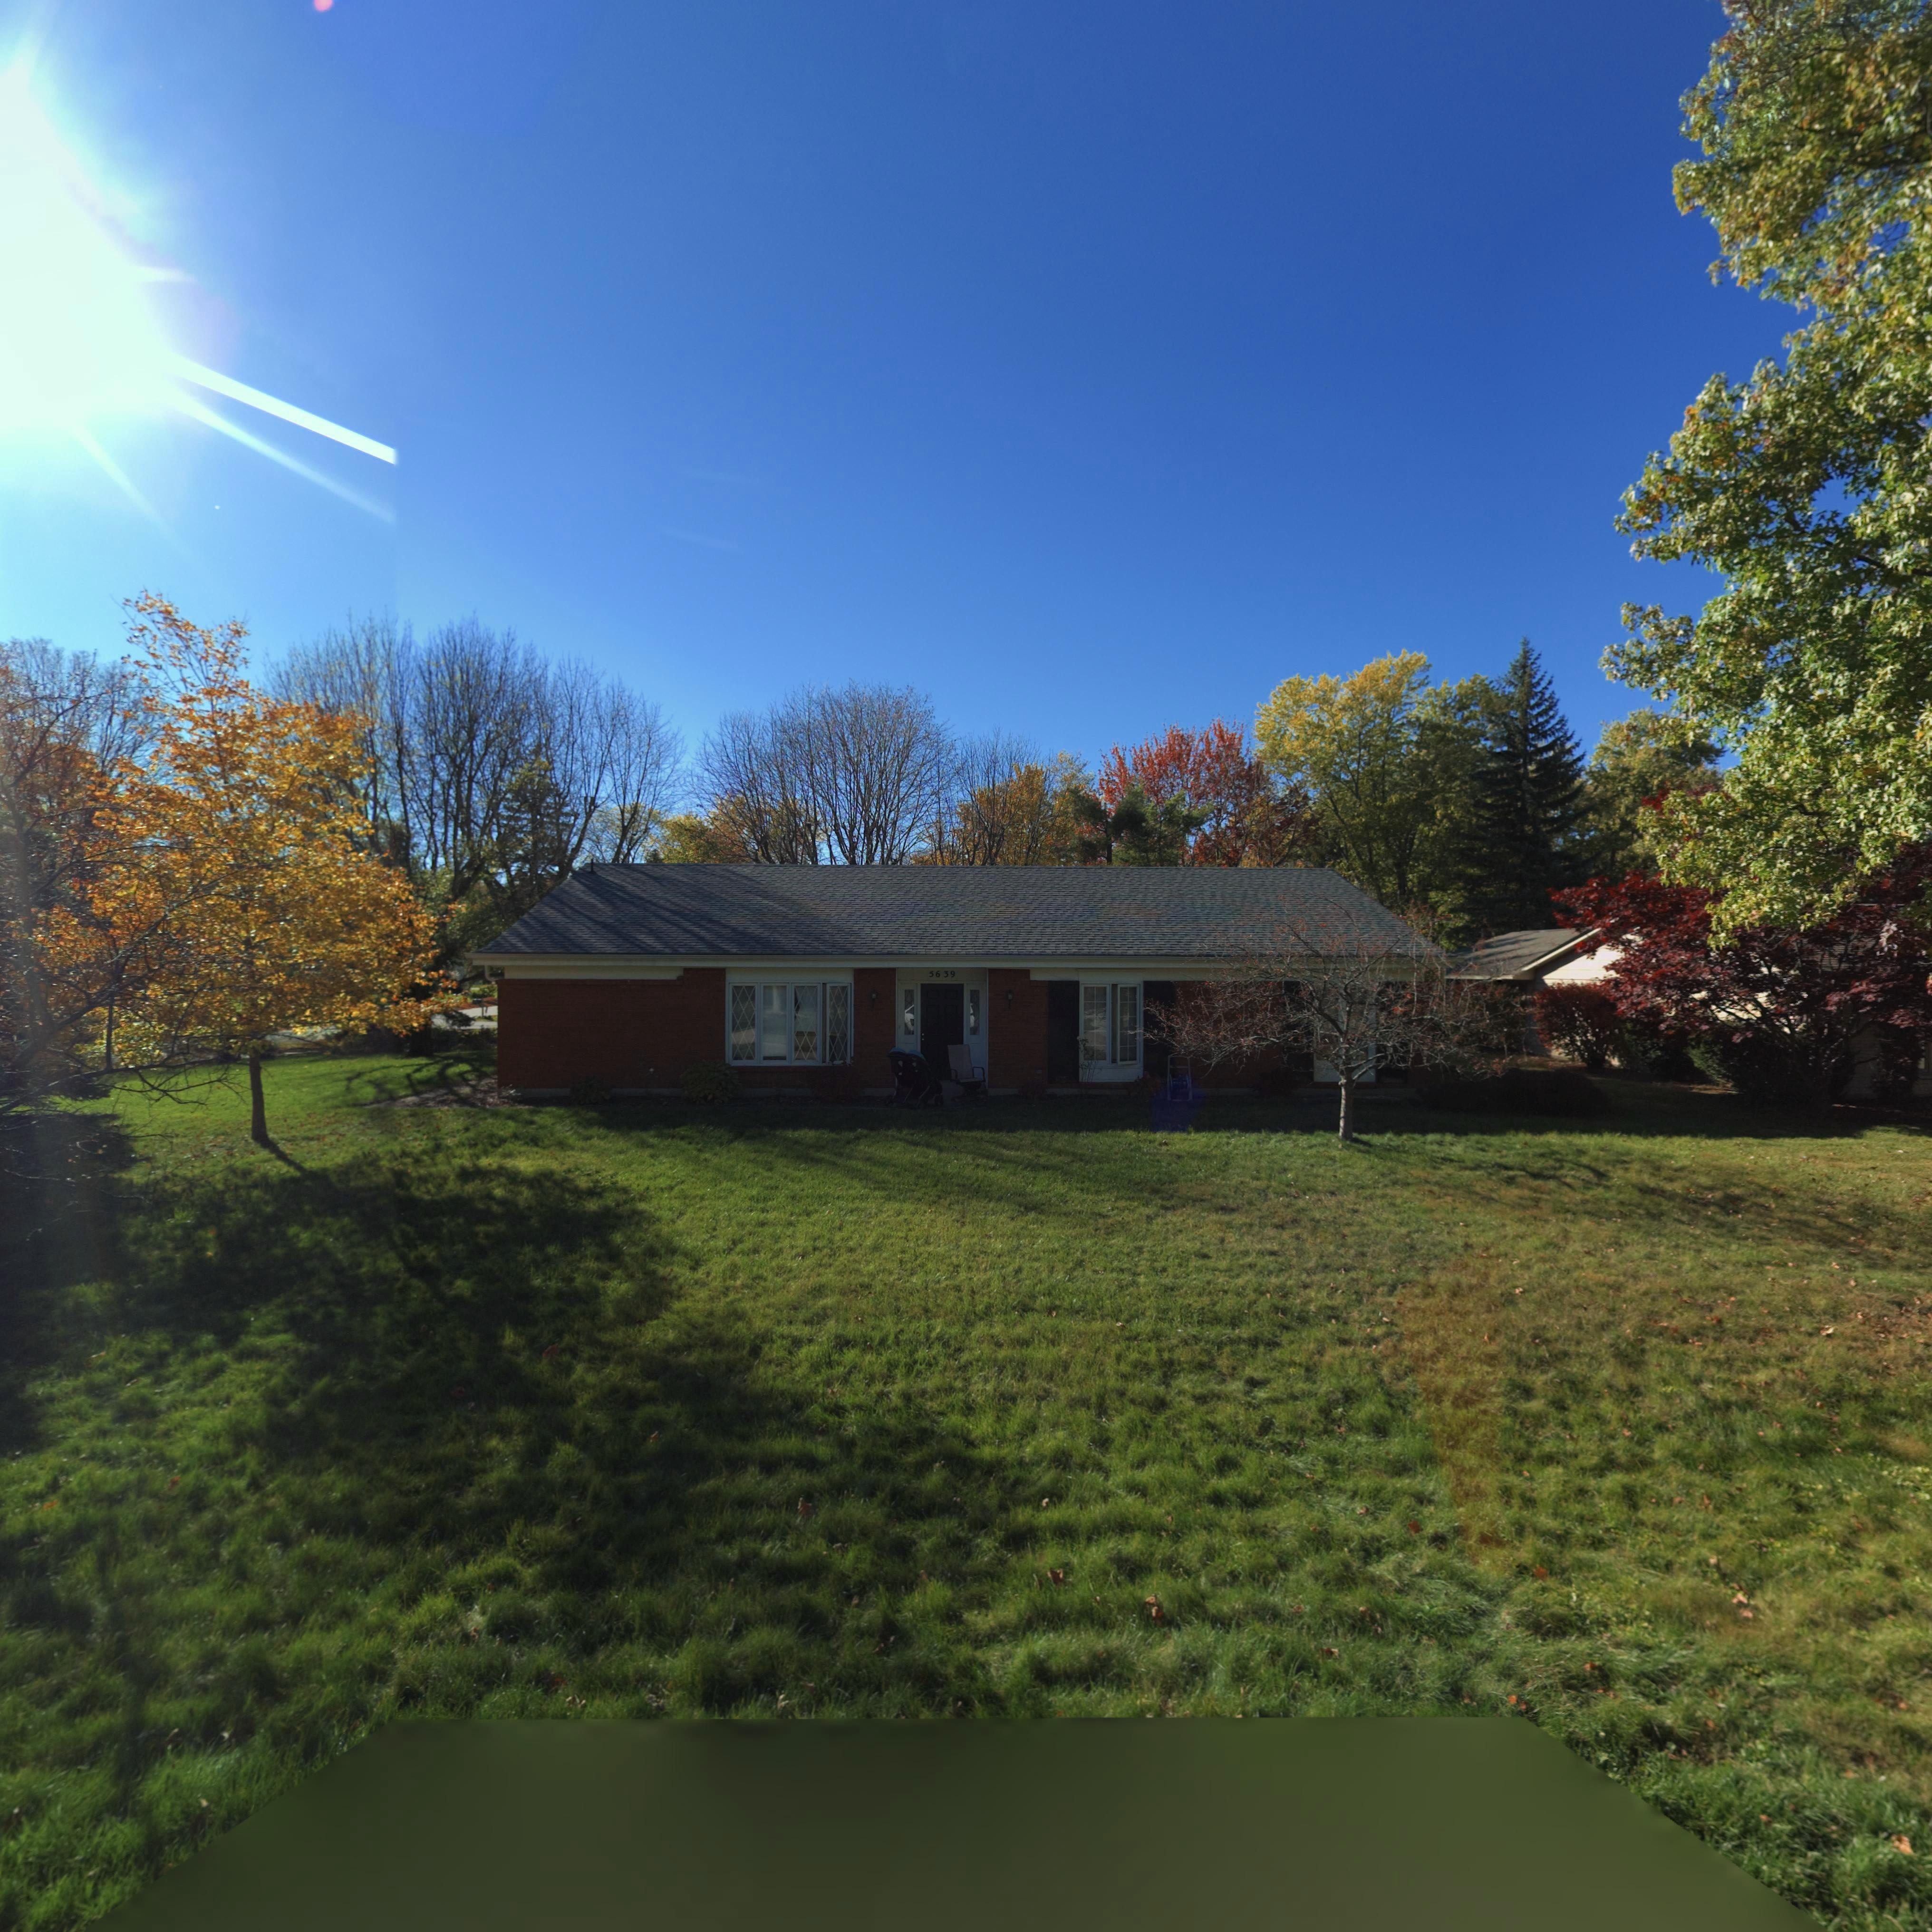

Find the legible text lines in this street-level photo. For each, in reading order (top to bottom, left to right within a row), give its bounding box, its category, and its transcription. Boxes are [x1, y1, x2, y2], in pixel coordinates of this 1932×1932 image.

[928, 969, 956, 978] StreetNumber: 5639